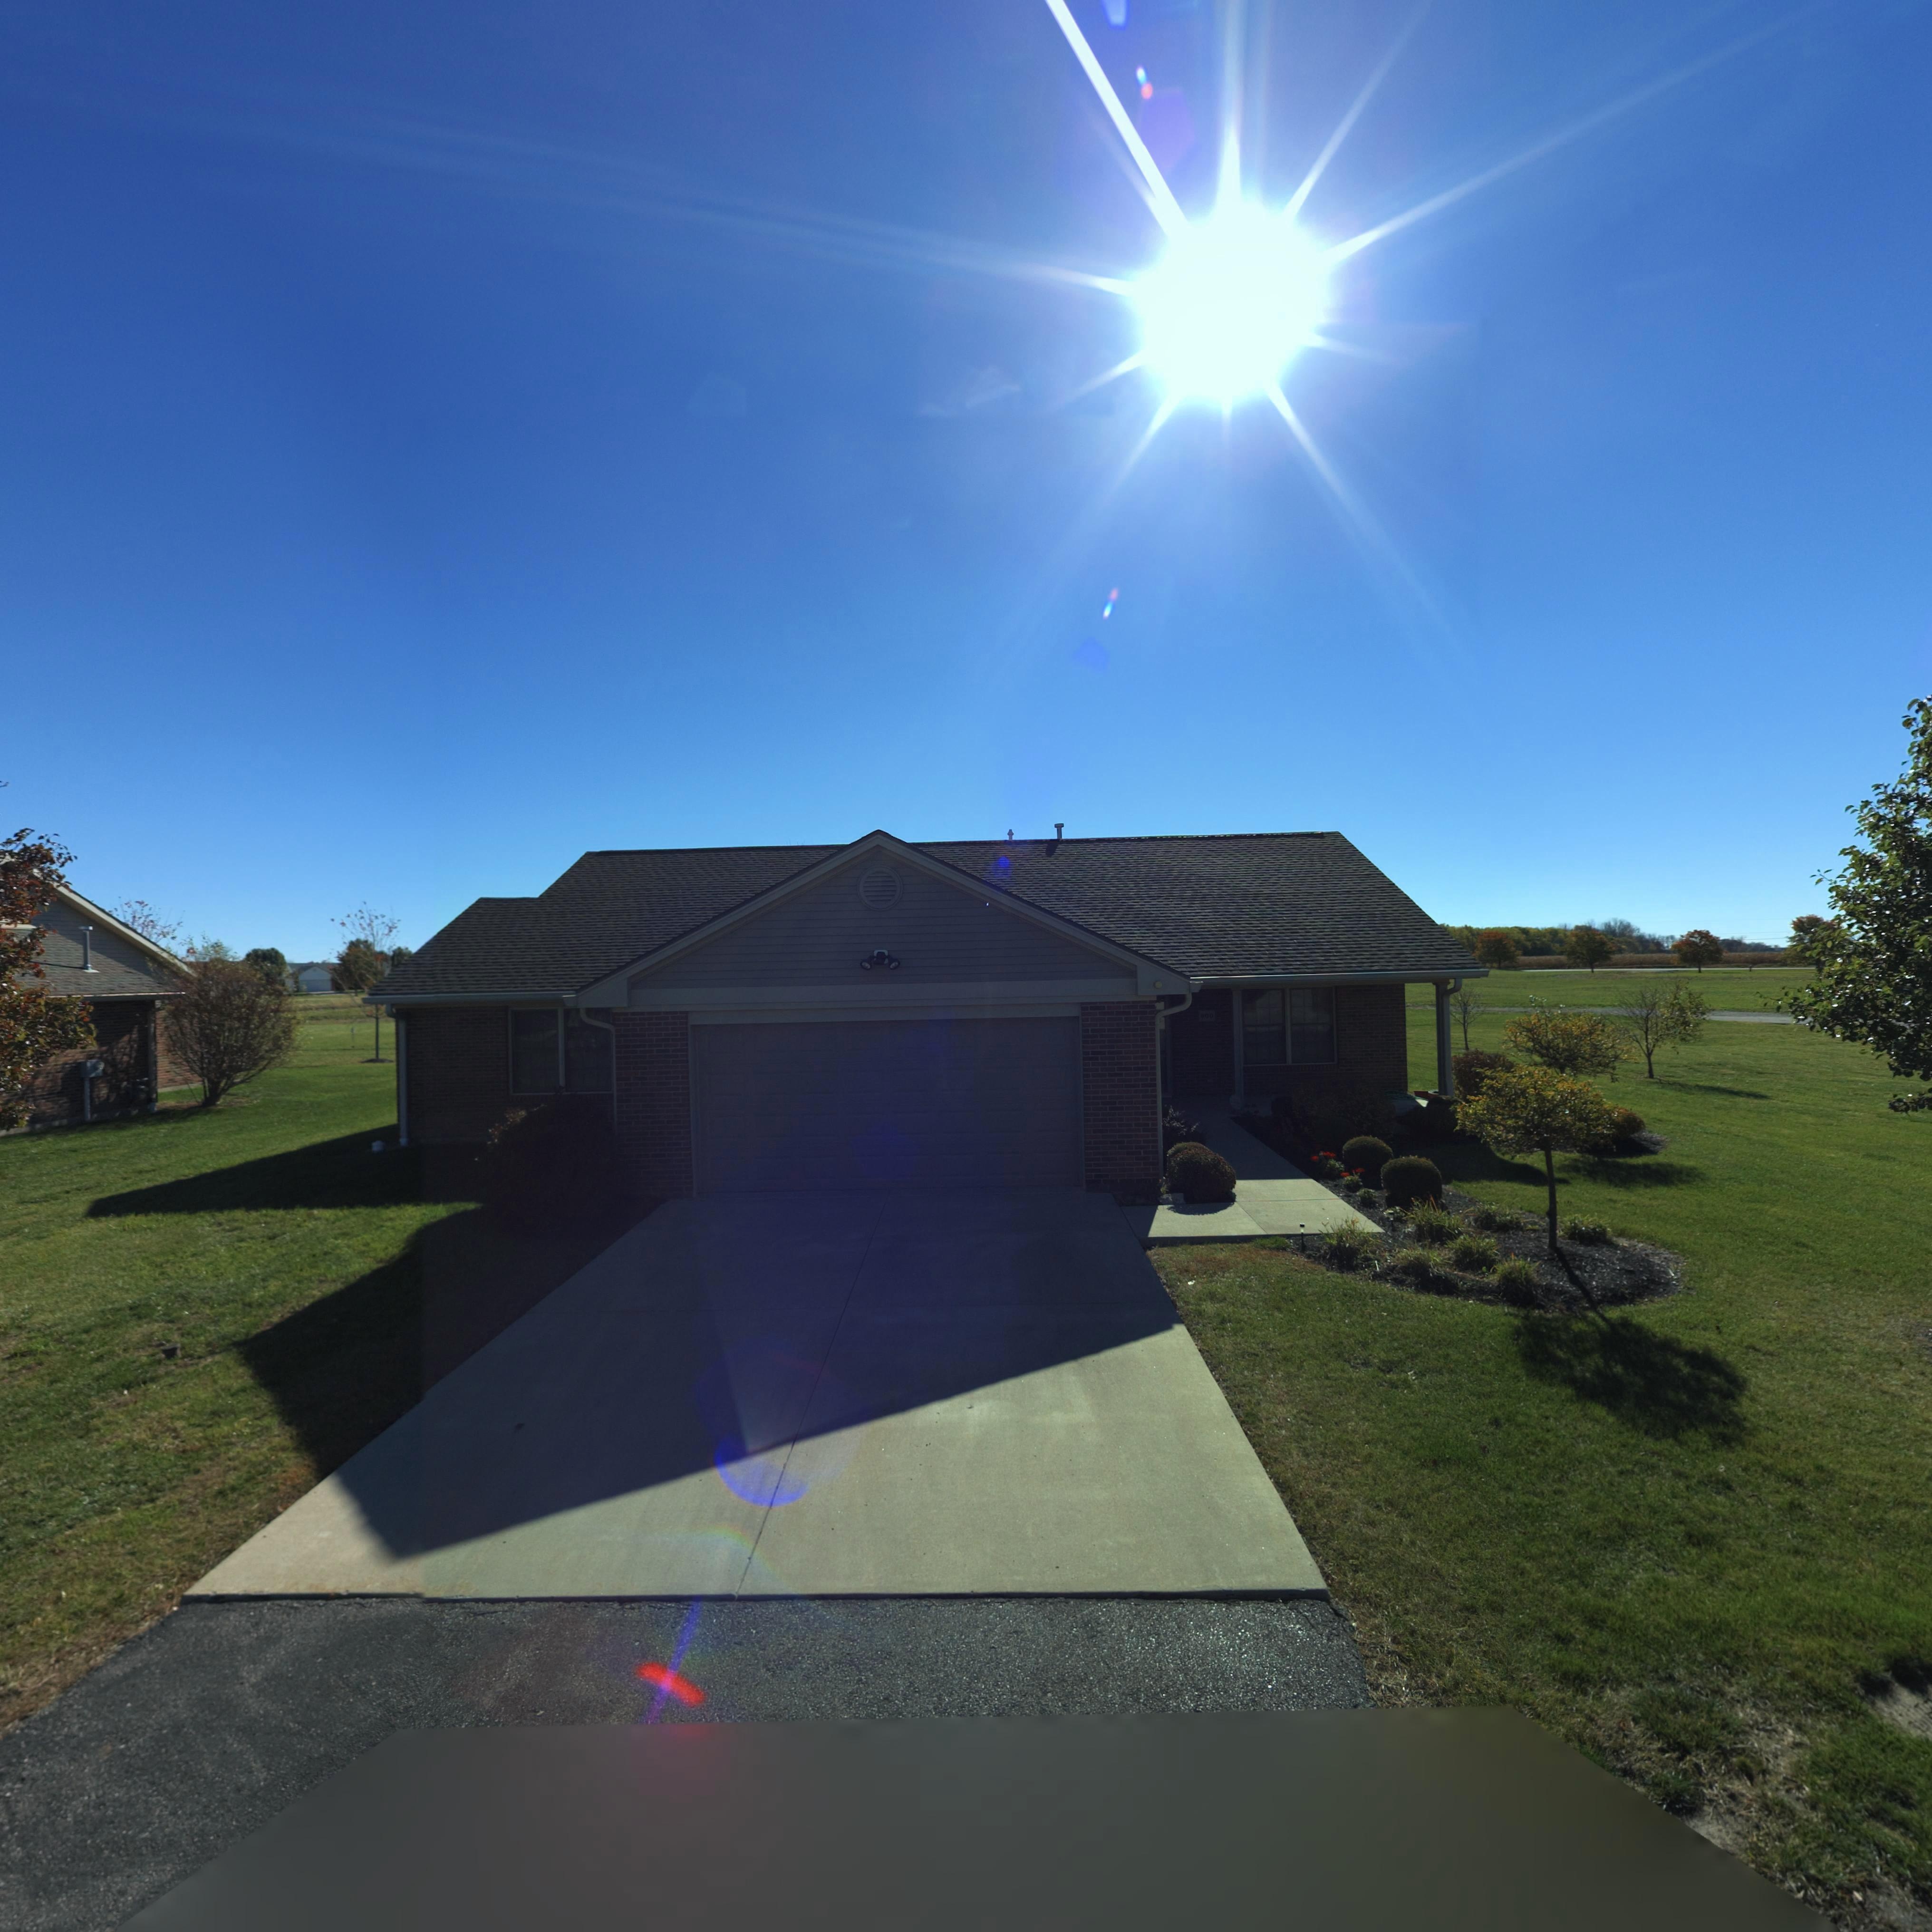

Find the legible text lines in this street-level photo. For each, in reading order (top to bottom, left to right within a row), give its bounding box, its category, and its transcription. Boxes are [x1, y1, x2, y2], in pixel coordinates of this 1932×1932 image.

[1199, 1013, 1214, 1019] StreetNumber: 600